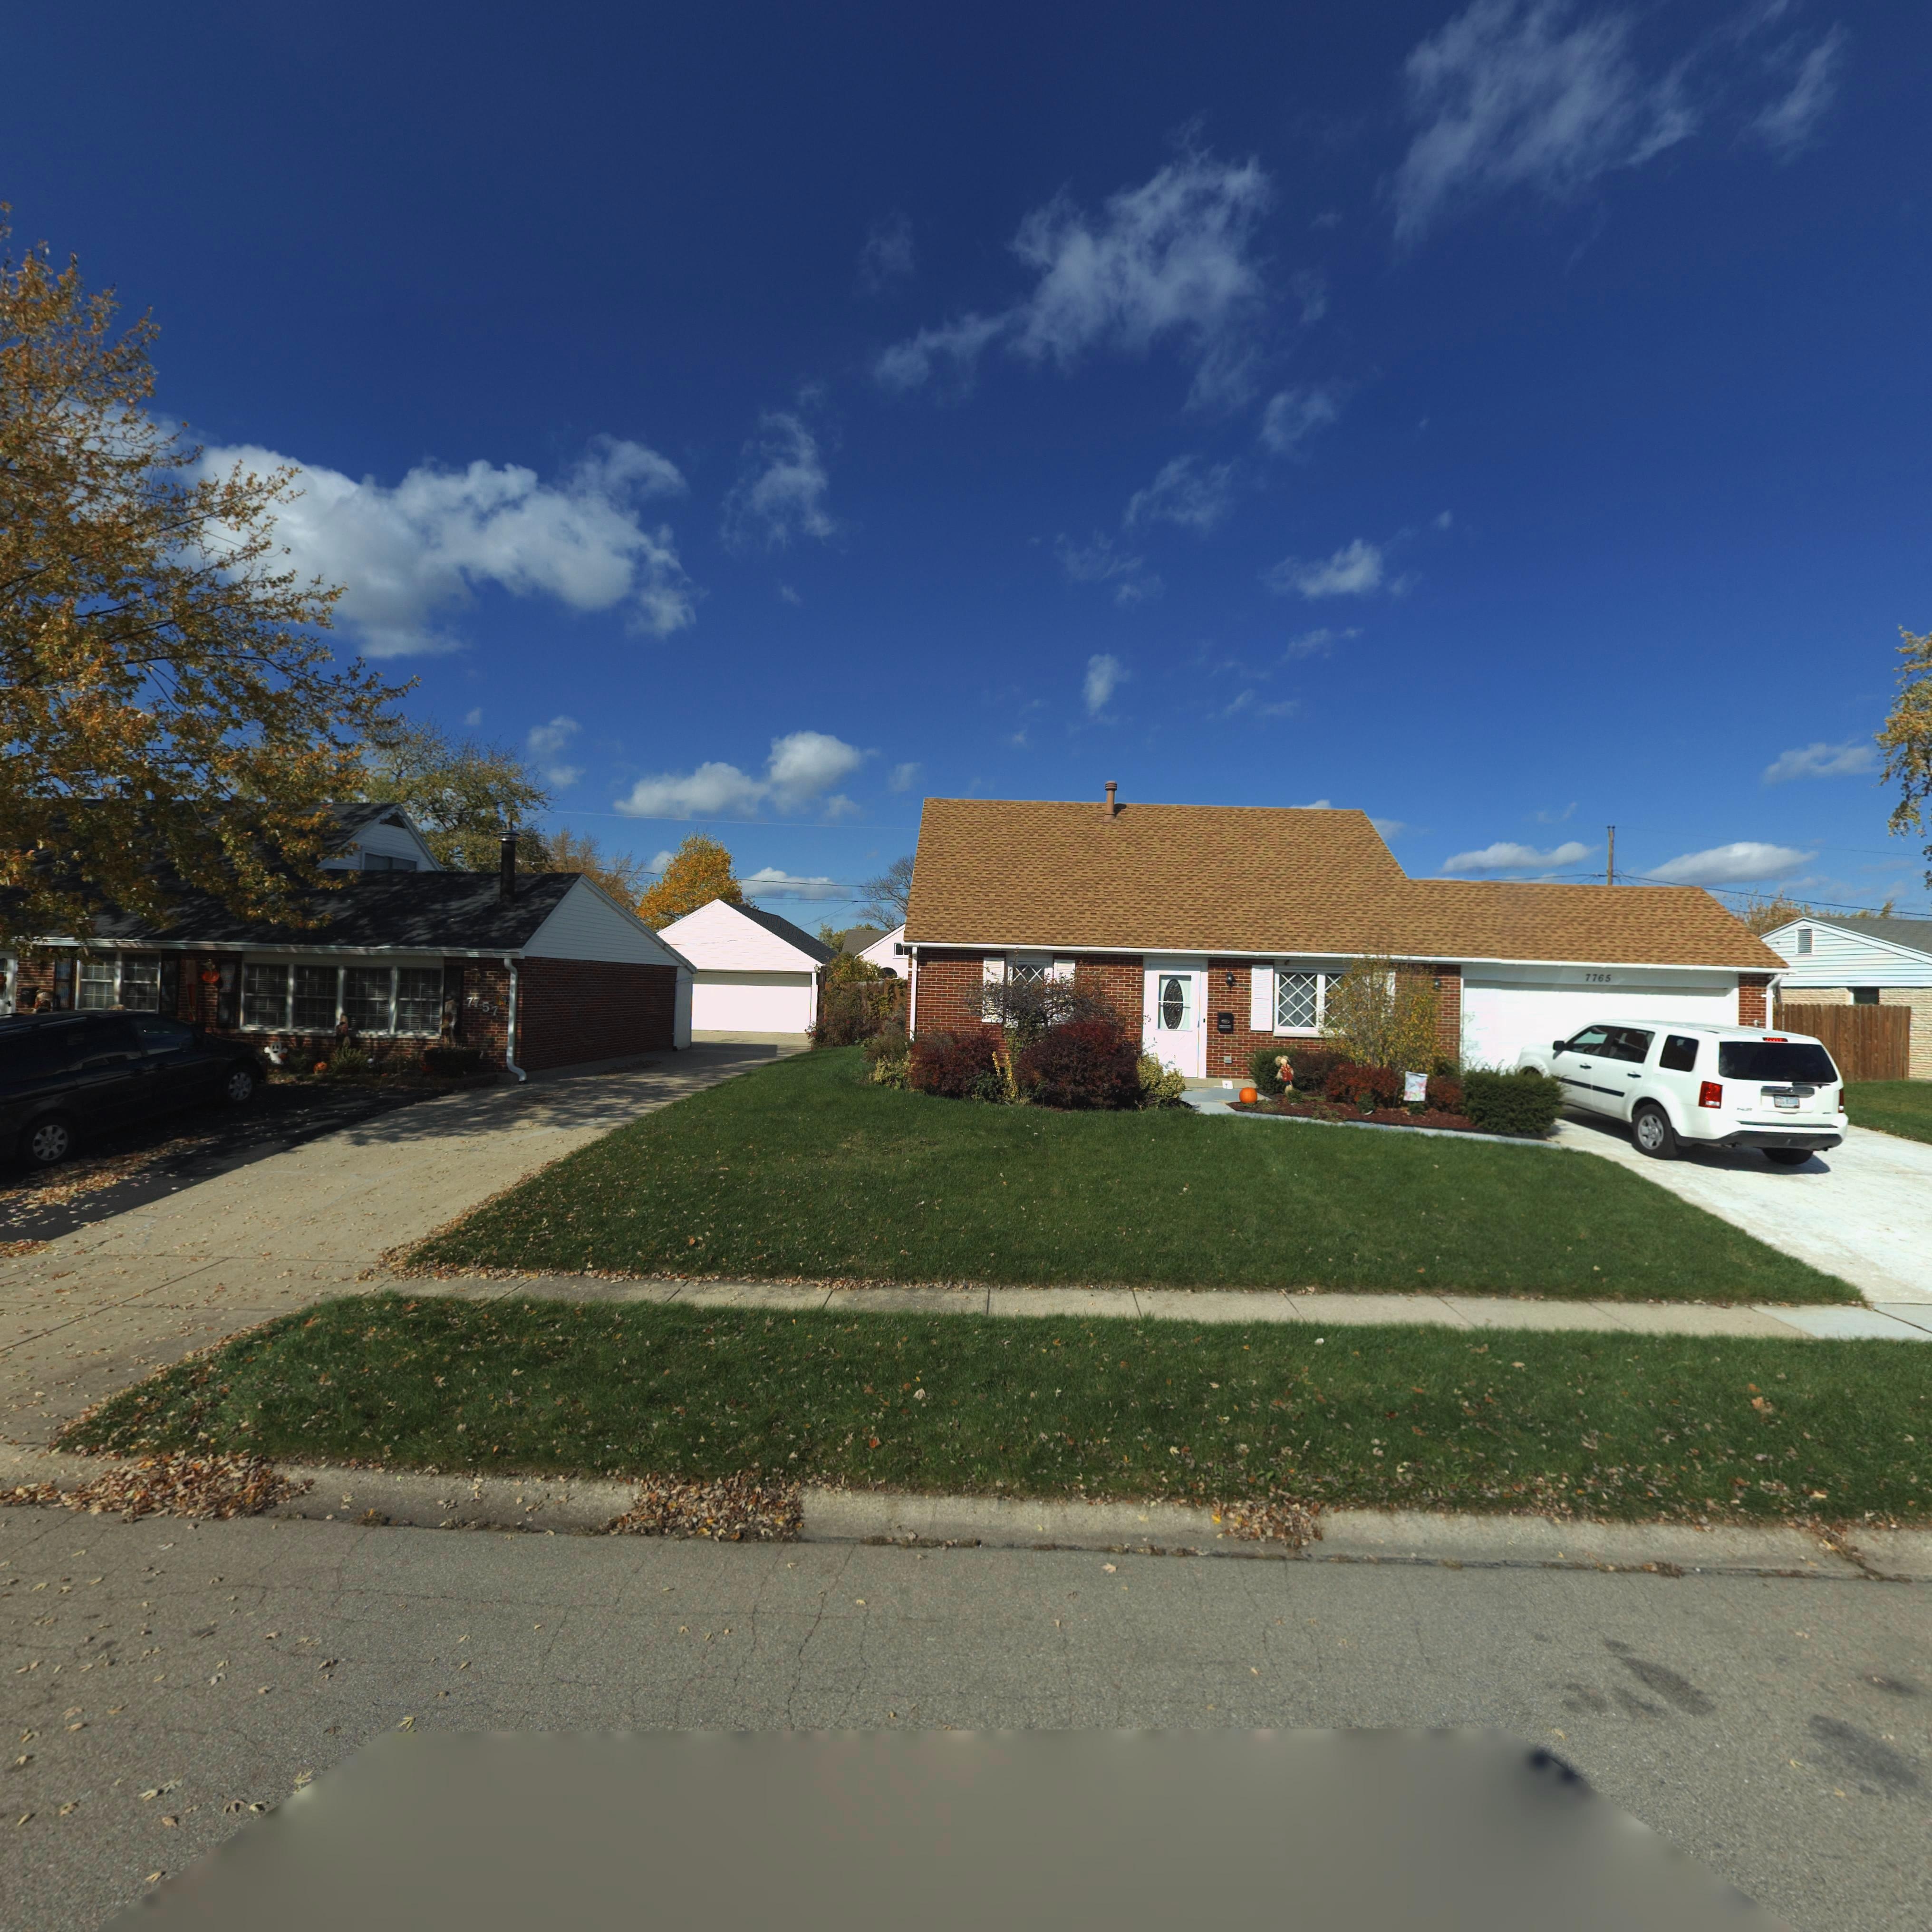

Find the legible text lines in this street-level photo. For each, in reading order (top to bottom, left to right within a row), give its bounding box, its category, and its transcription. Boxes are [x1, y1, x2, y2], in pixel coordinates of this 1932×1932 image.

[1585, 973, 1612, 983] StreetNumber: 7765
[466, 996, 500, 1016] StreetNumber: 7757